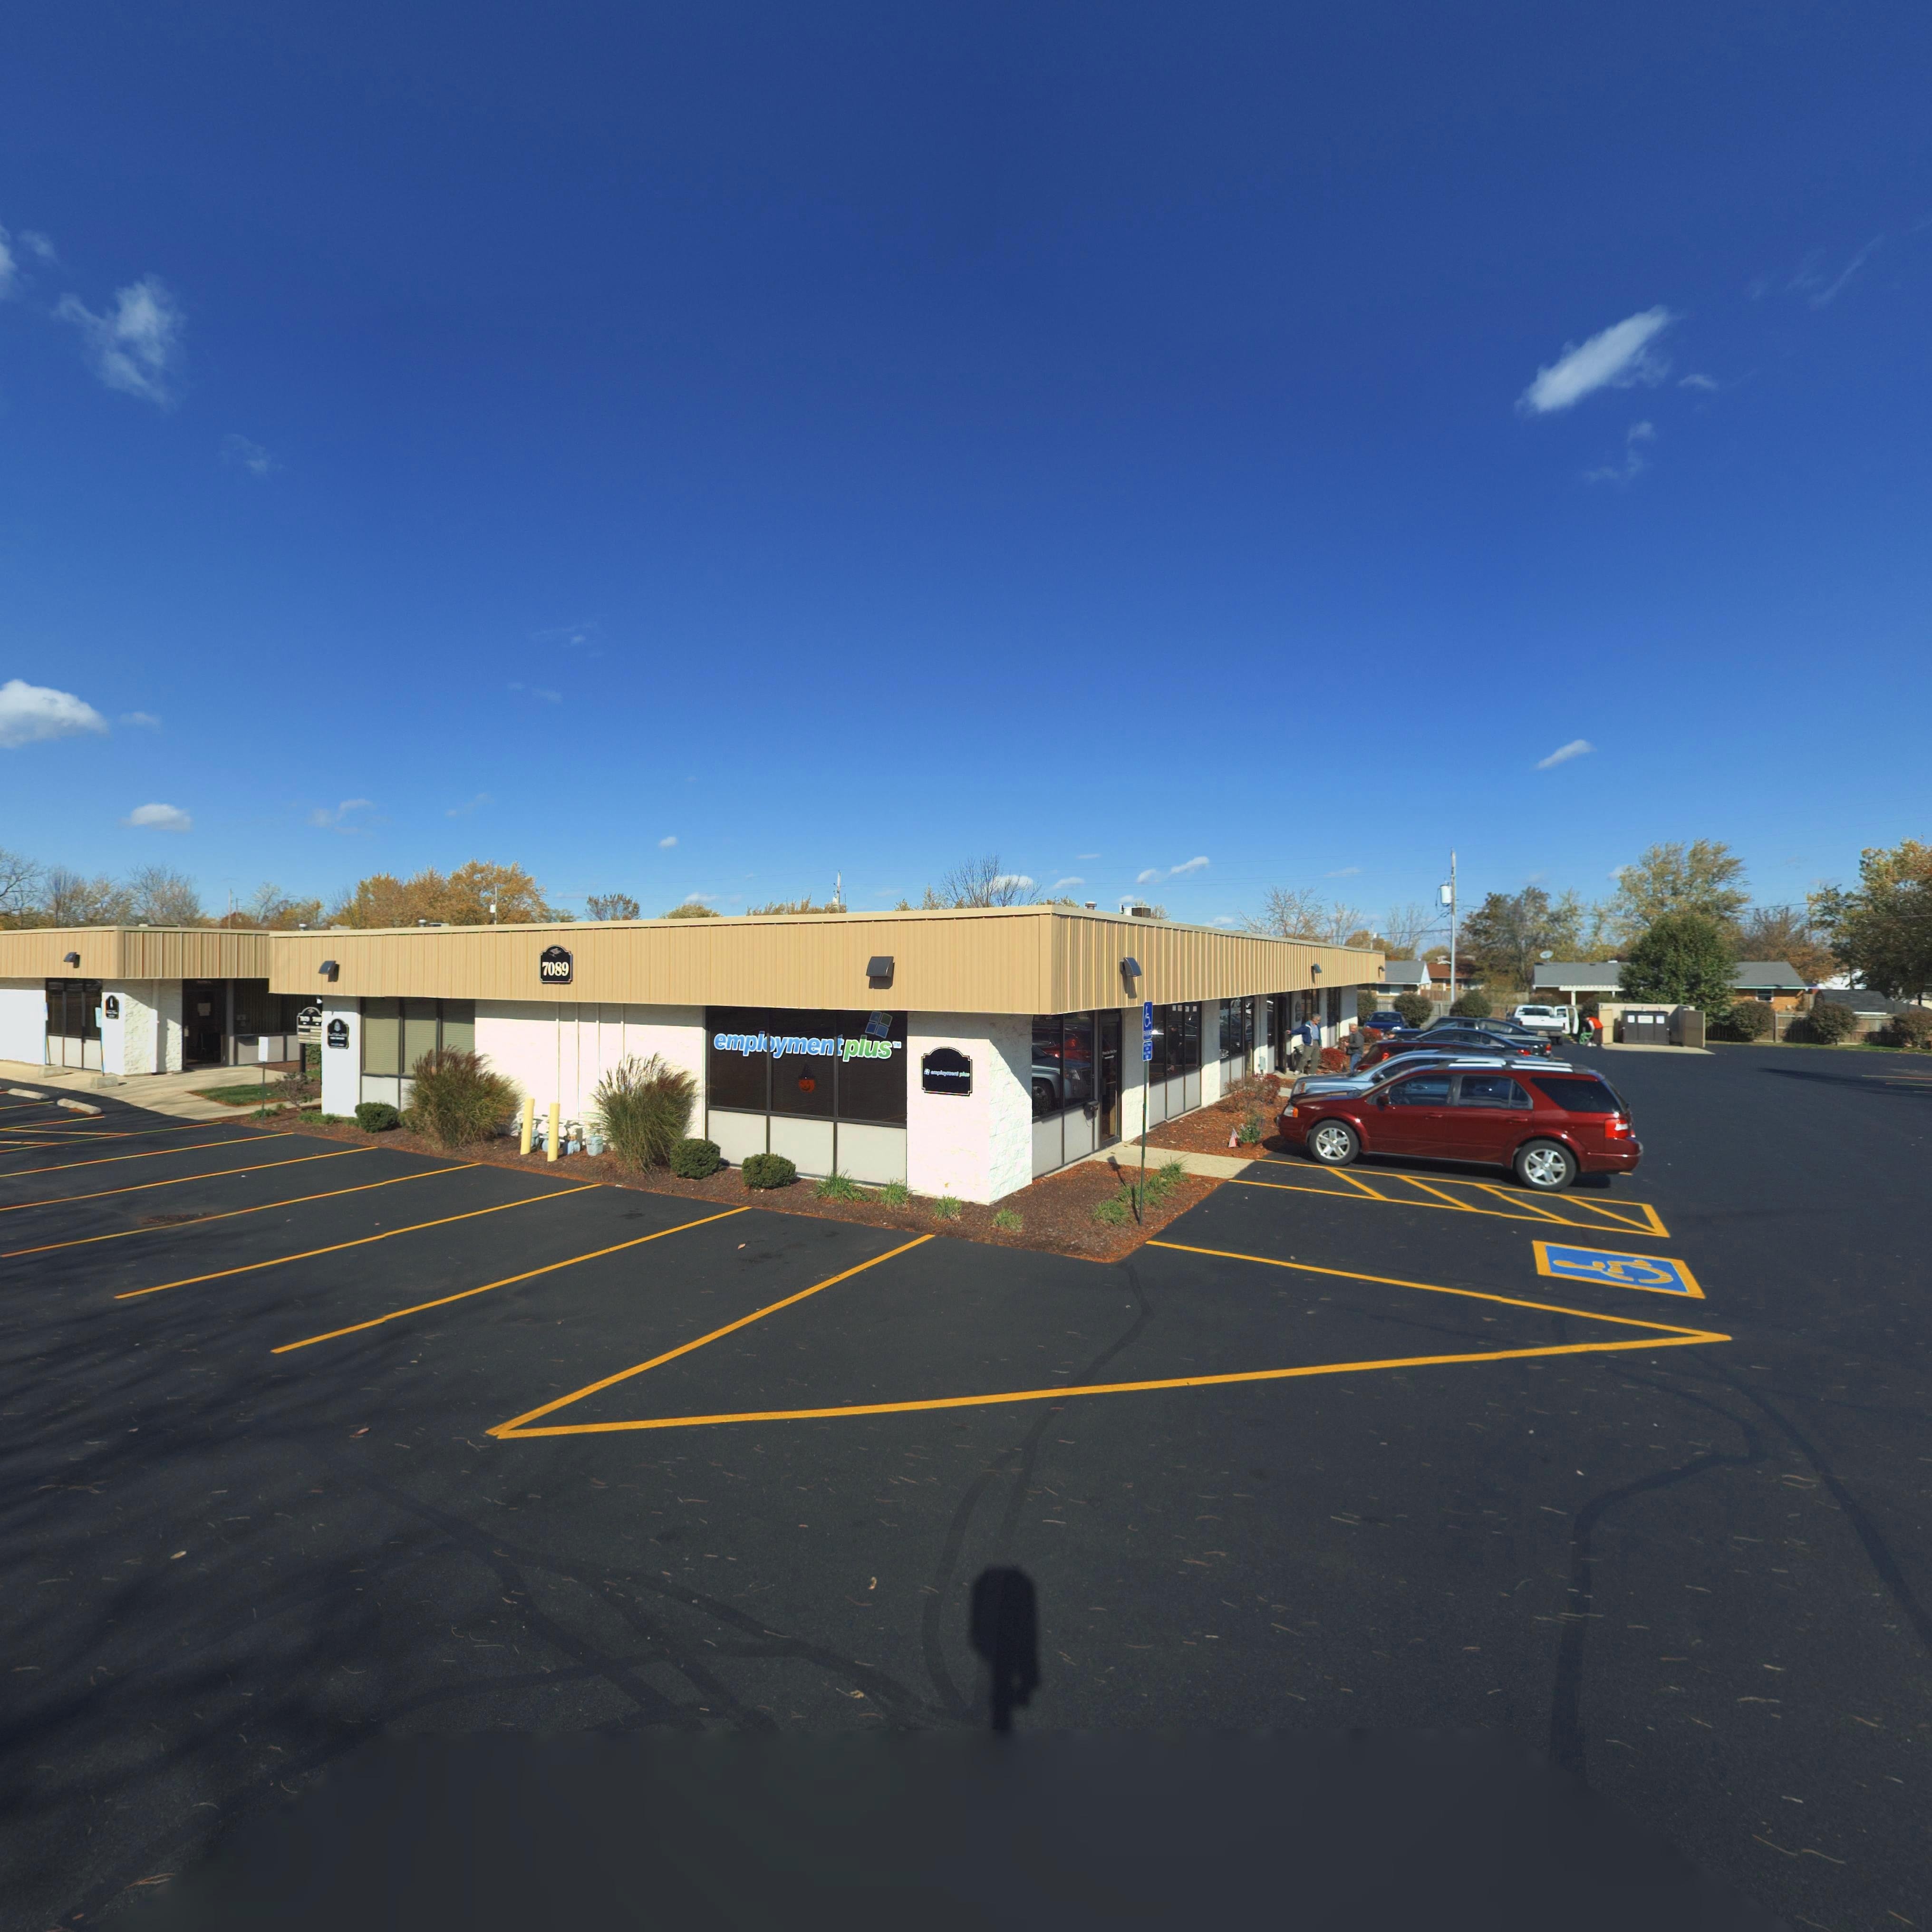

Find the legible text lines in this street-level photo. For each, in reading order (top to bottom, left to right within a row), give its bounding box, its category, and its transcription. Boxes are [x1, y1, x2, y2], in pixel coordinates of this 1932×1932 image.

[541, 961, 570, 978] StreetNumber: 7089